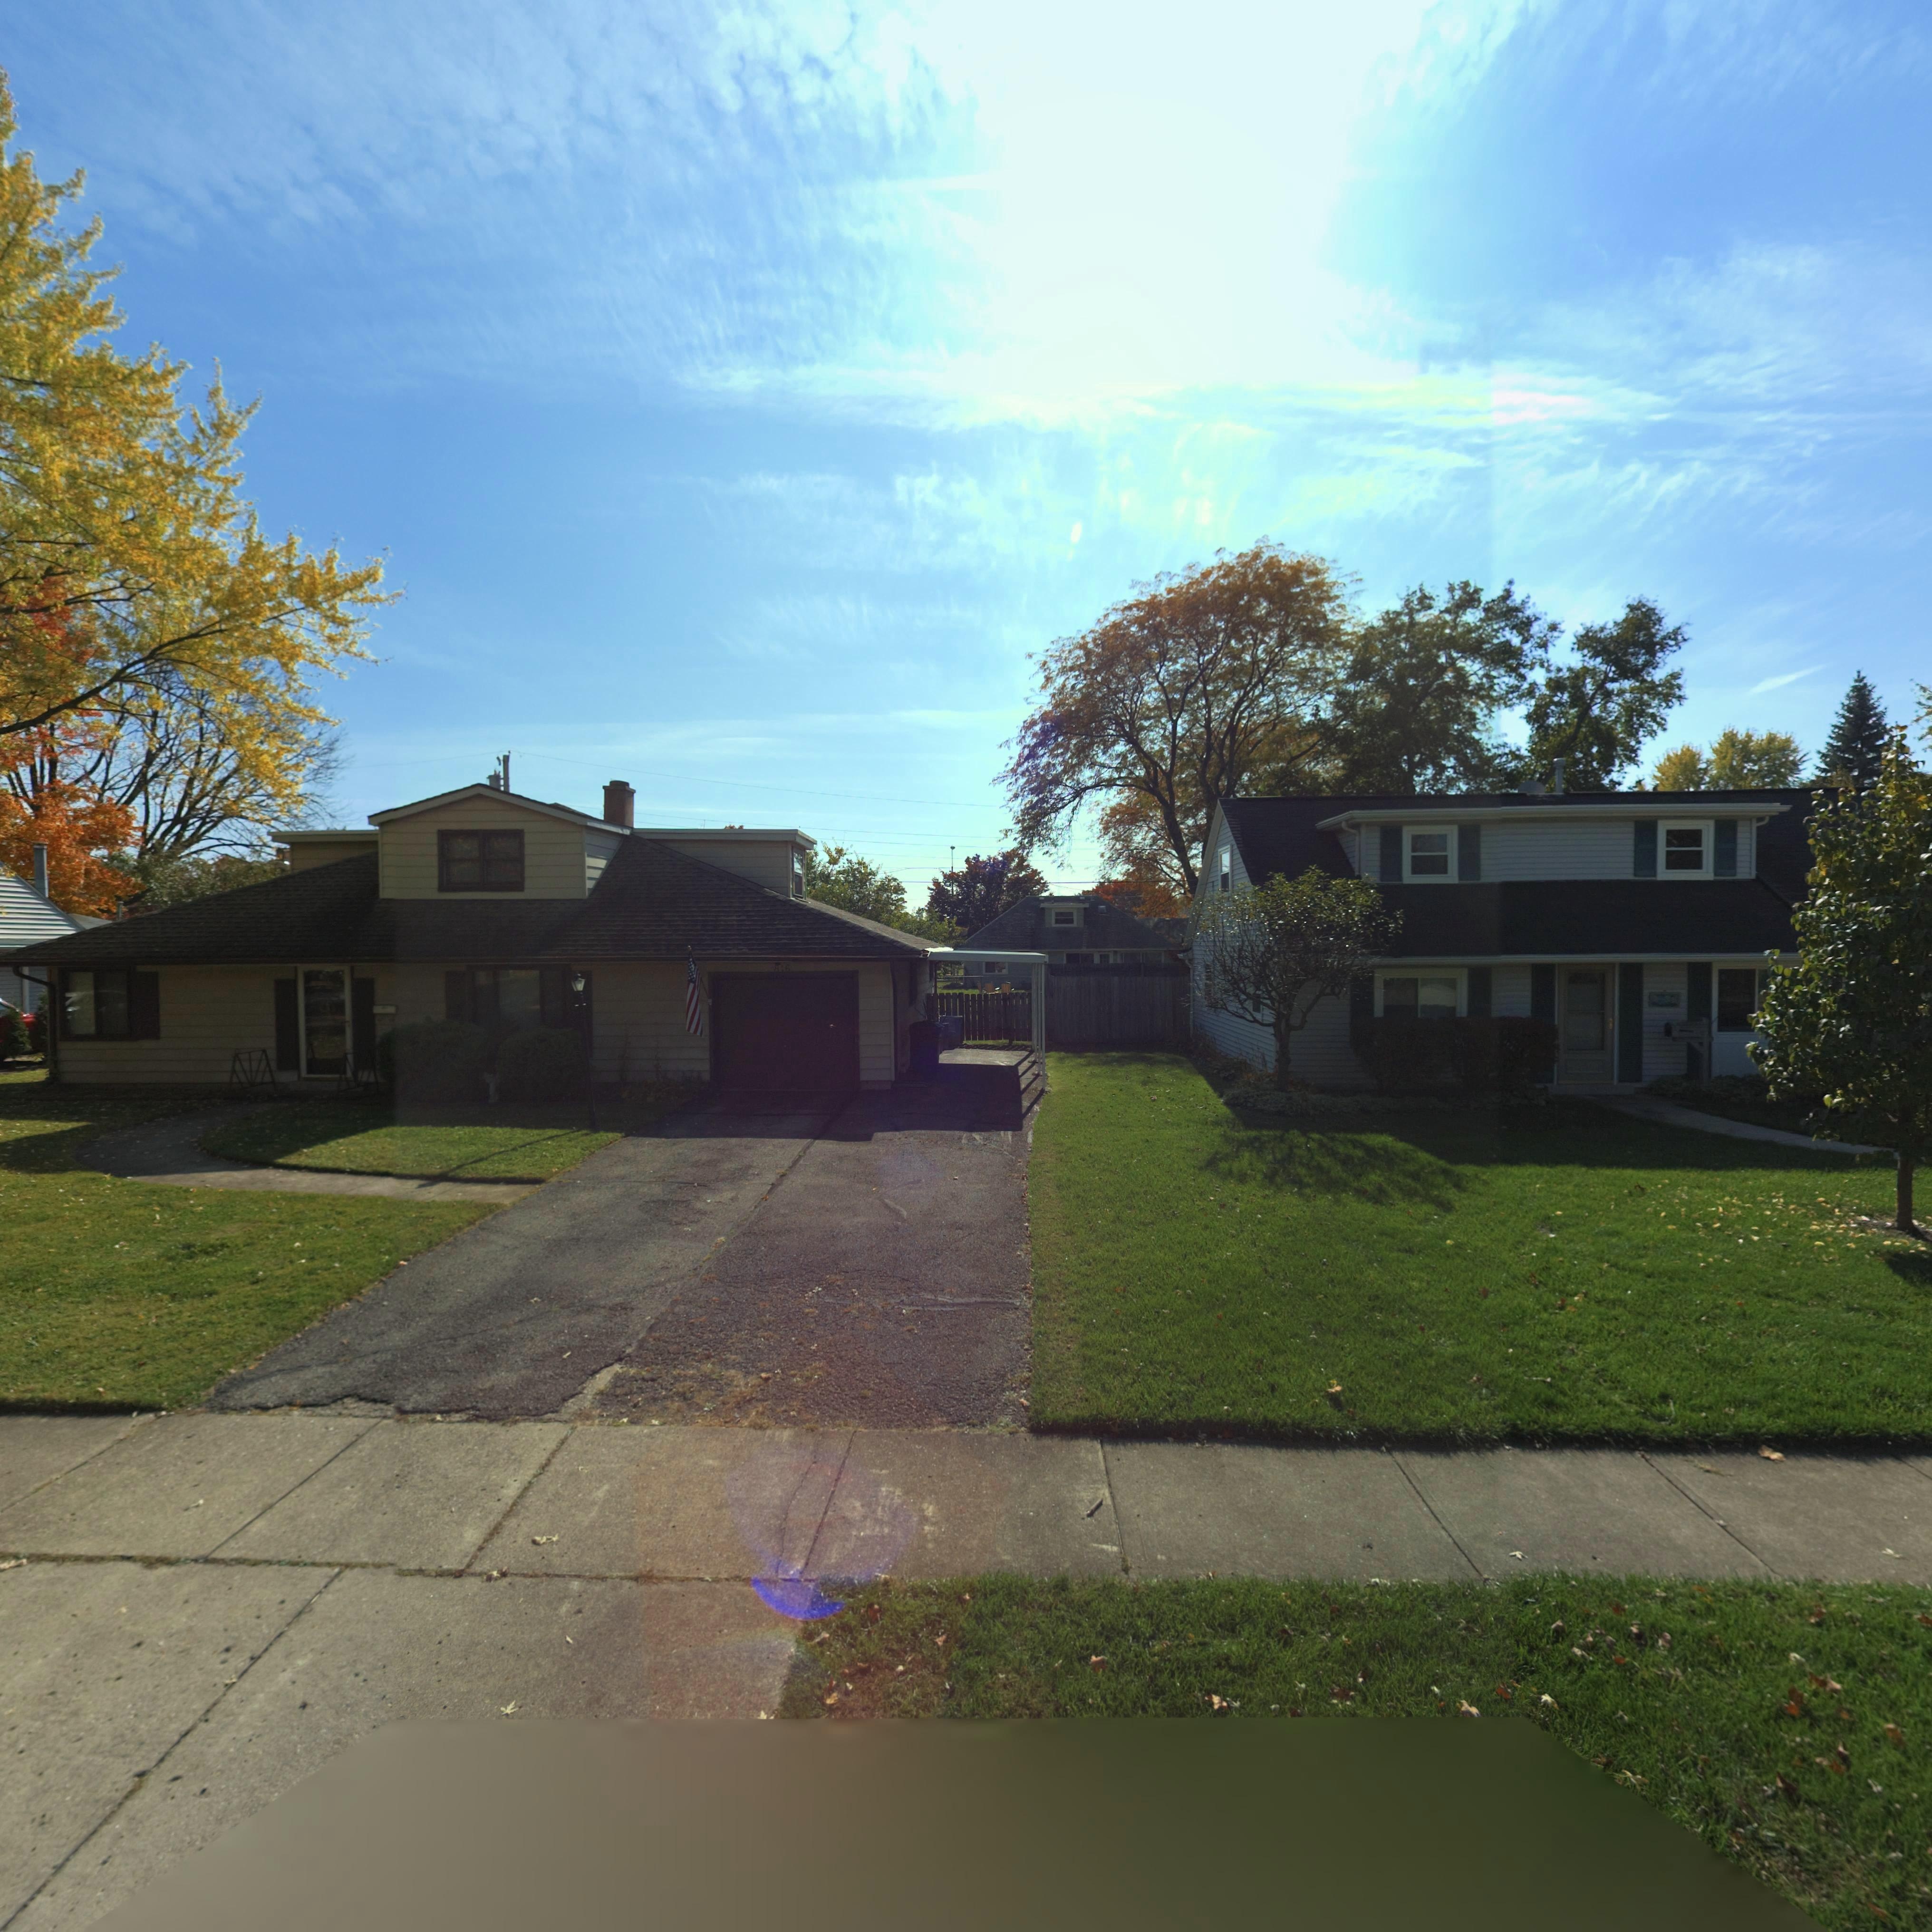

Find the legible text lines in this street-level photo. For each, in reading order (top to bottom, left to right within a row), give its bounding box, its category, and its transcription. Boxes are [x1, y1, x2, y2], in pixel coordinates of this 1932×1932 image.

[773, 964, 792, 973] StreetNumber: 816